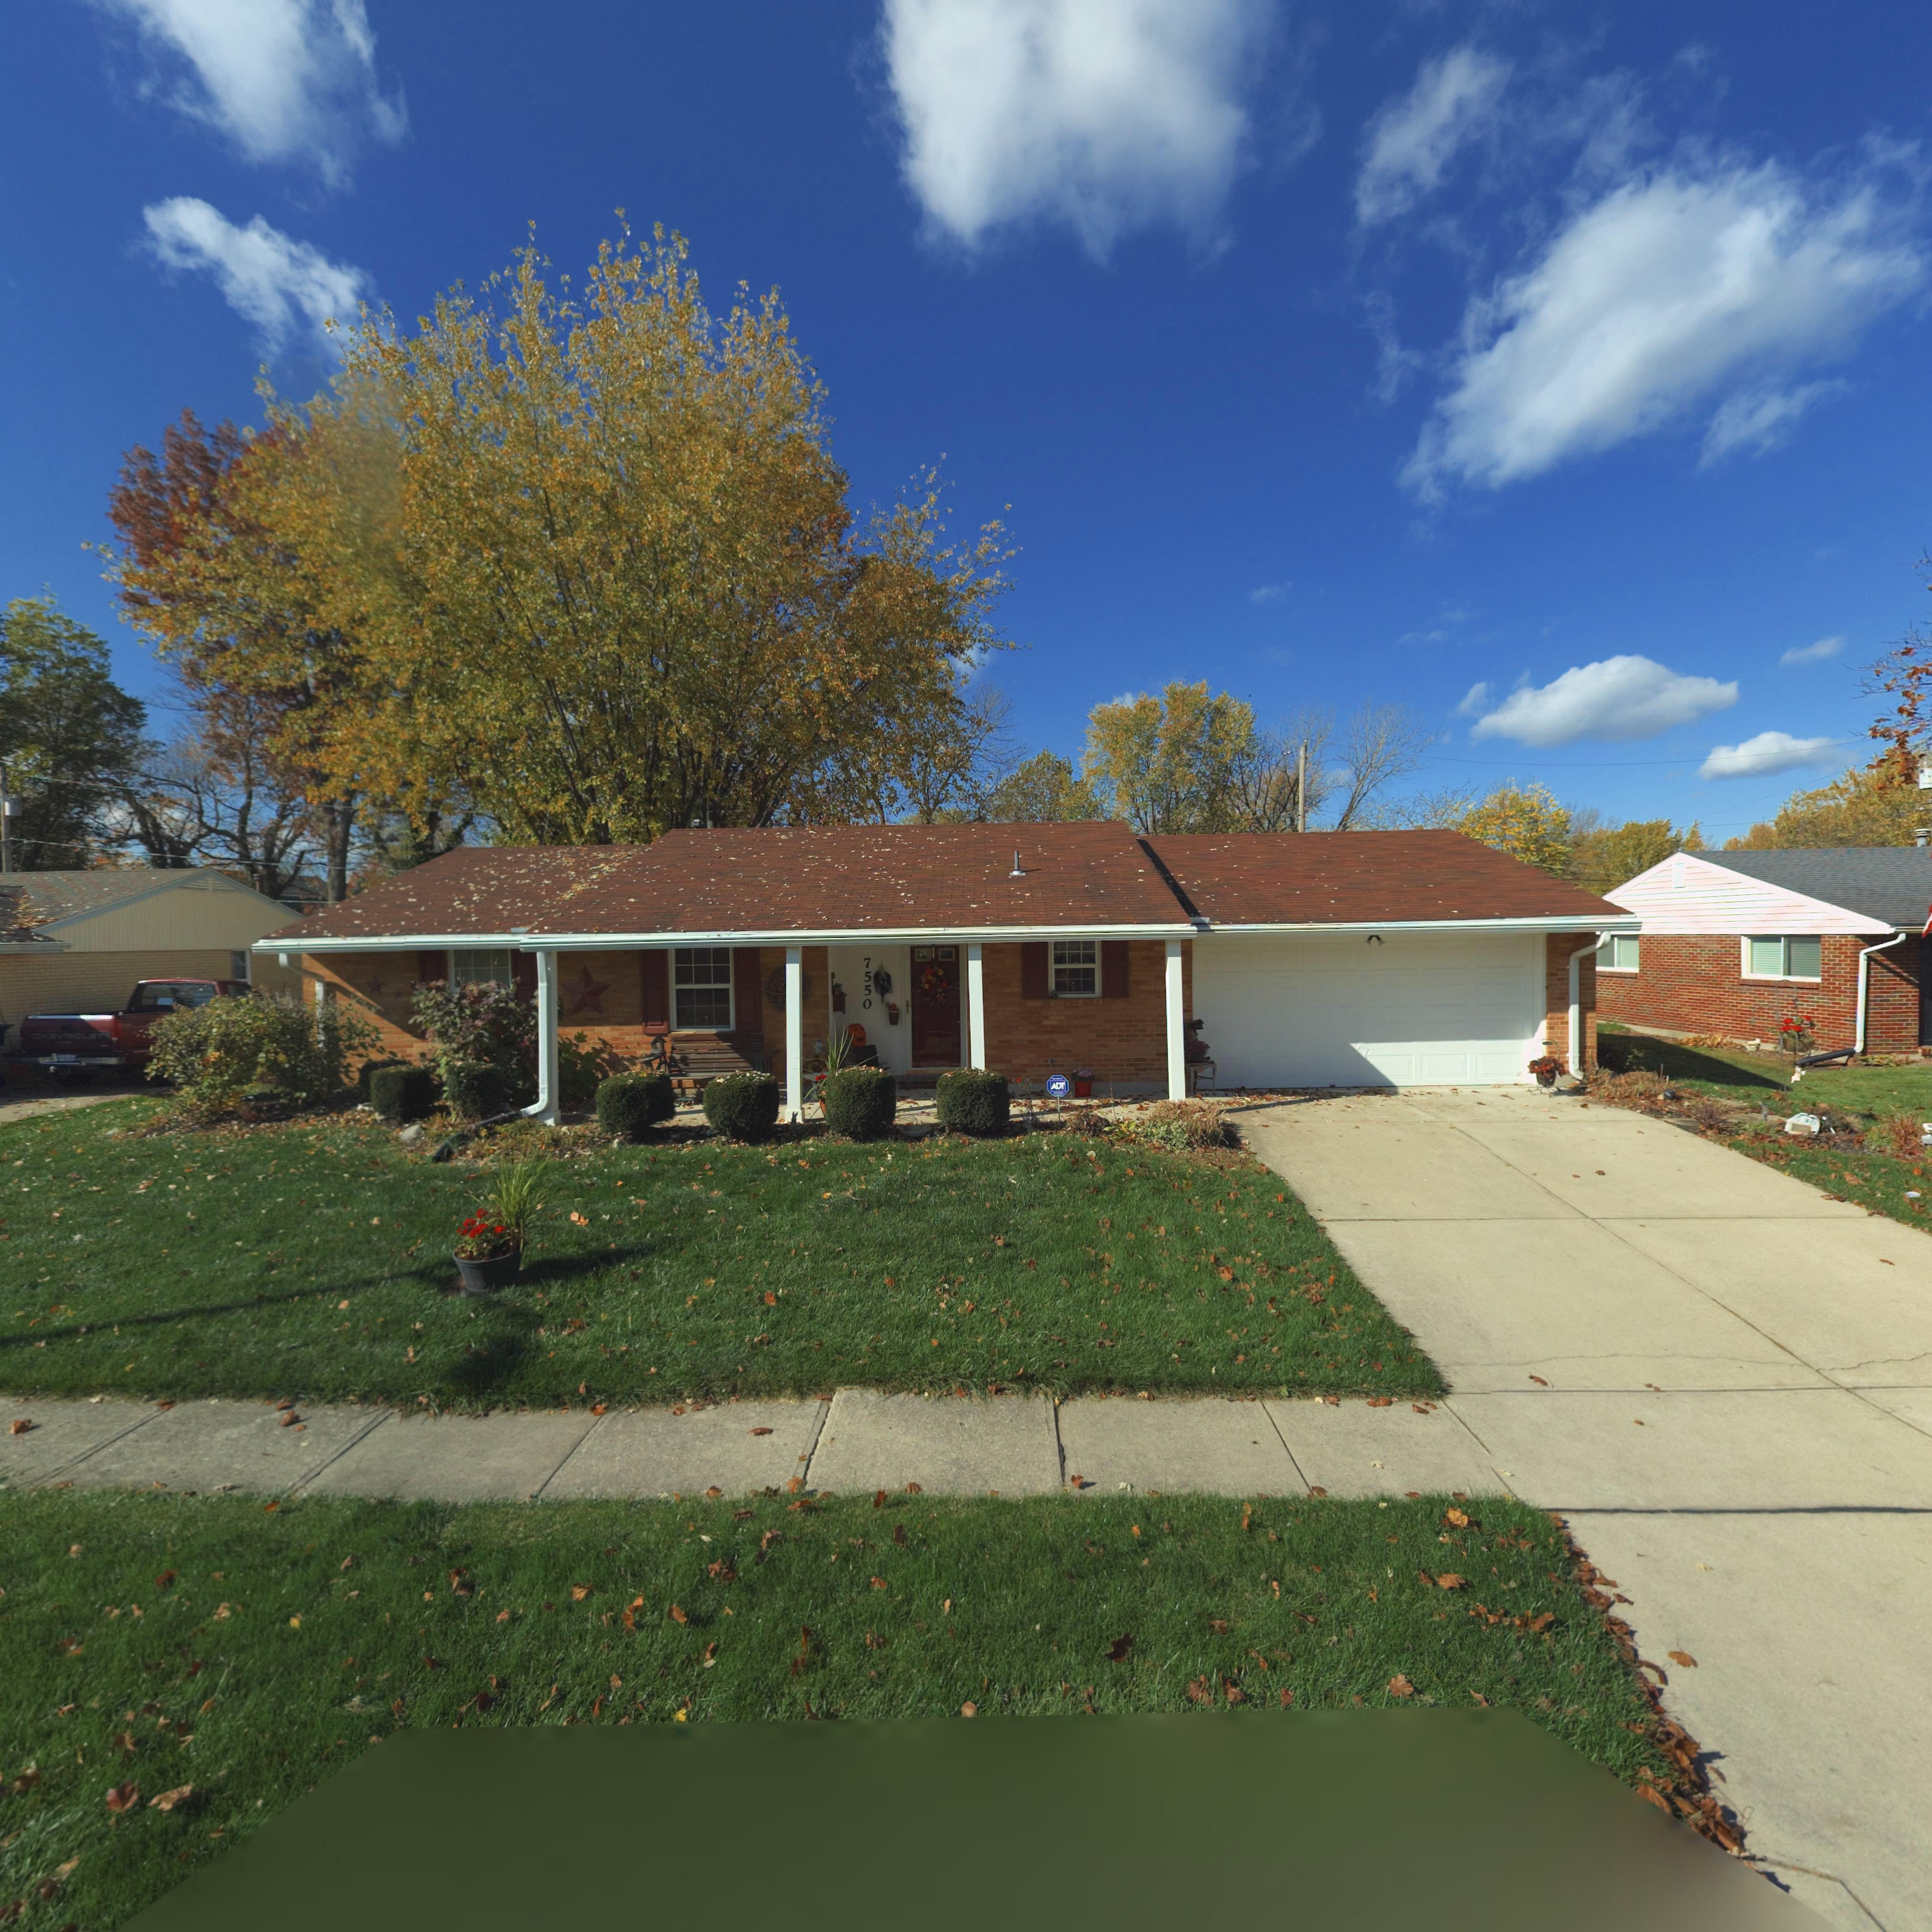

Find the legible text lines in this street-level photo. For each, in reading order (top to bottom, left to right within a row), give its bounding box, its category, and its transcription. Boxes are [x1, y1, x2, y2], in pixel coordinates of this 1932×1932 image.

[862, 956, 874, 1011] StreetNumber: 7550